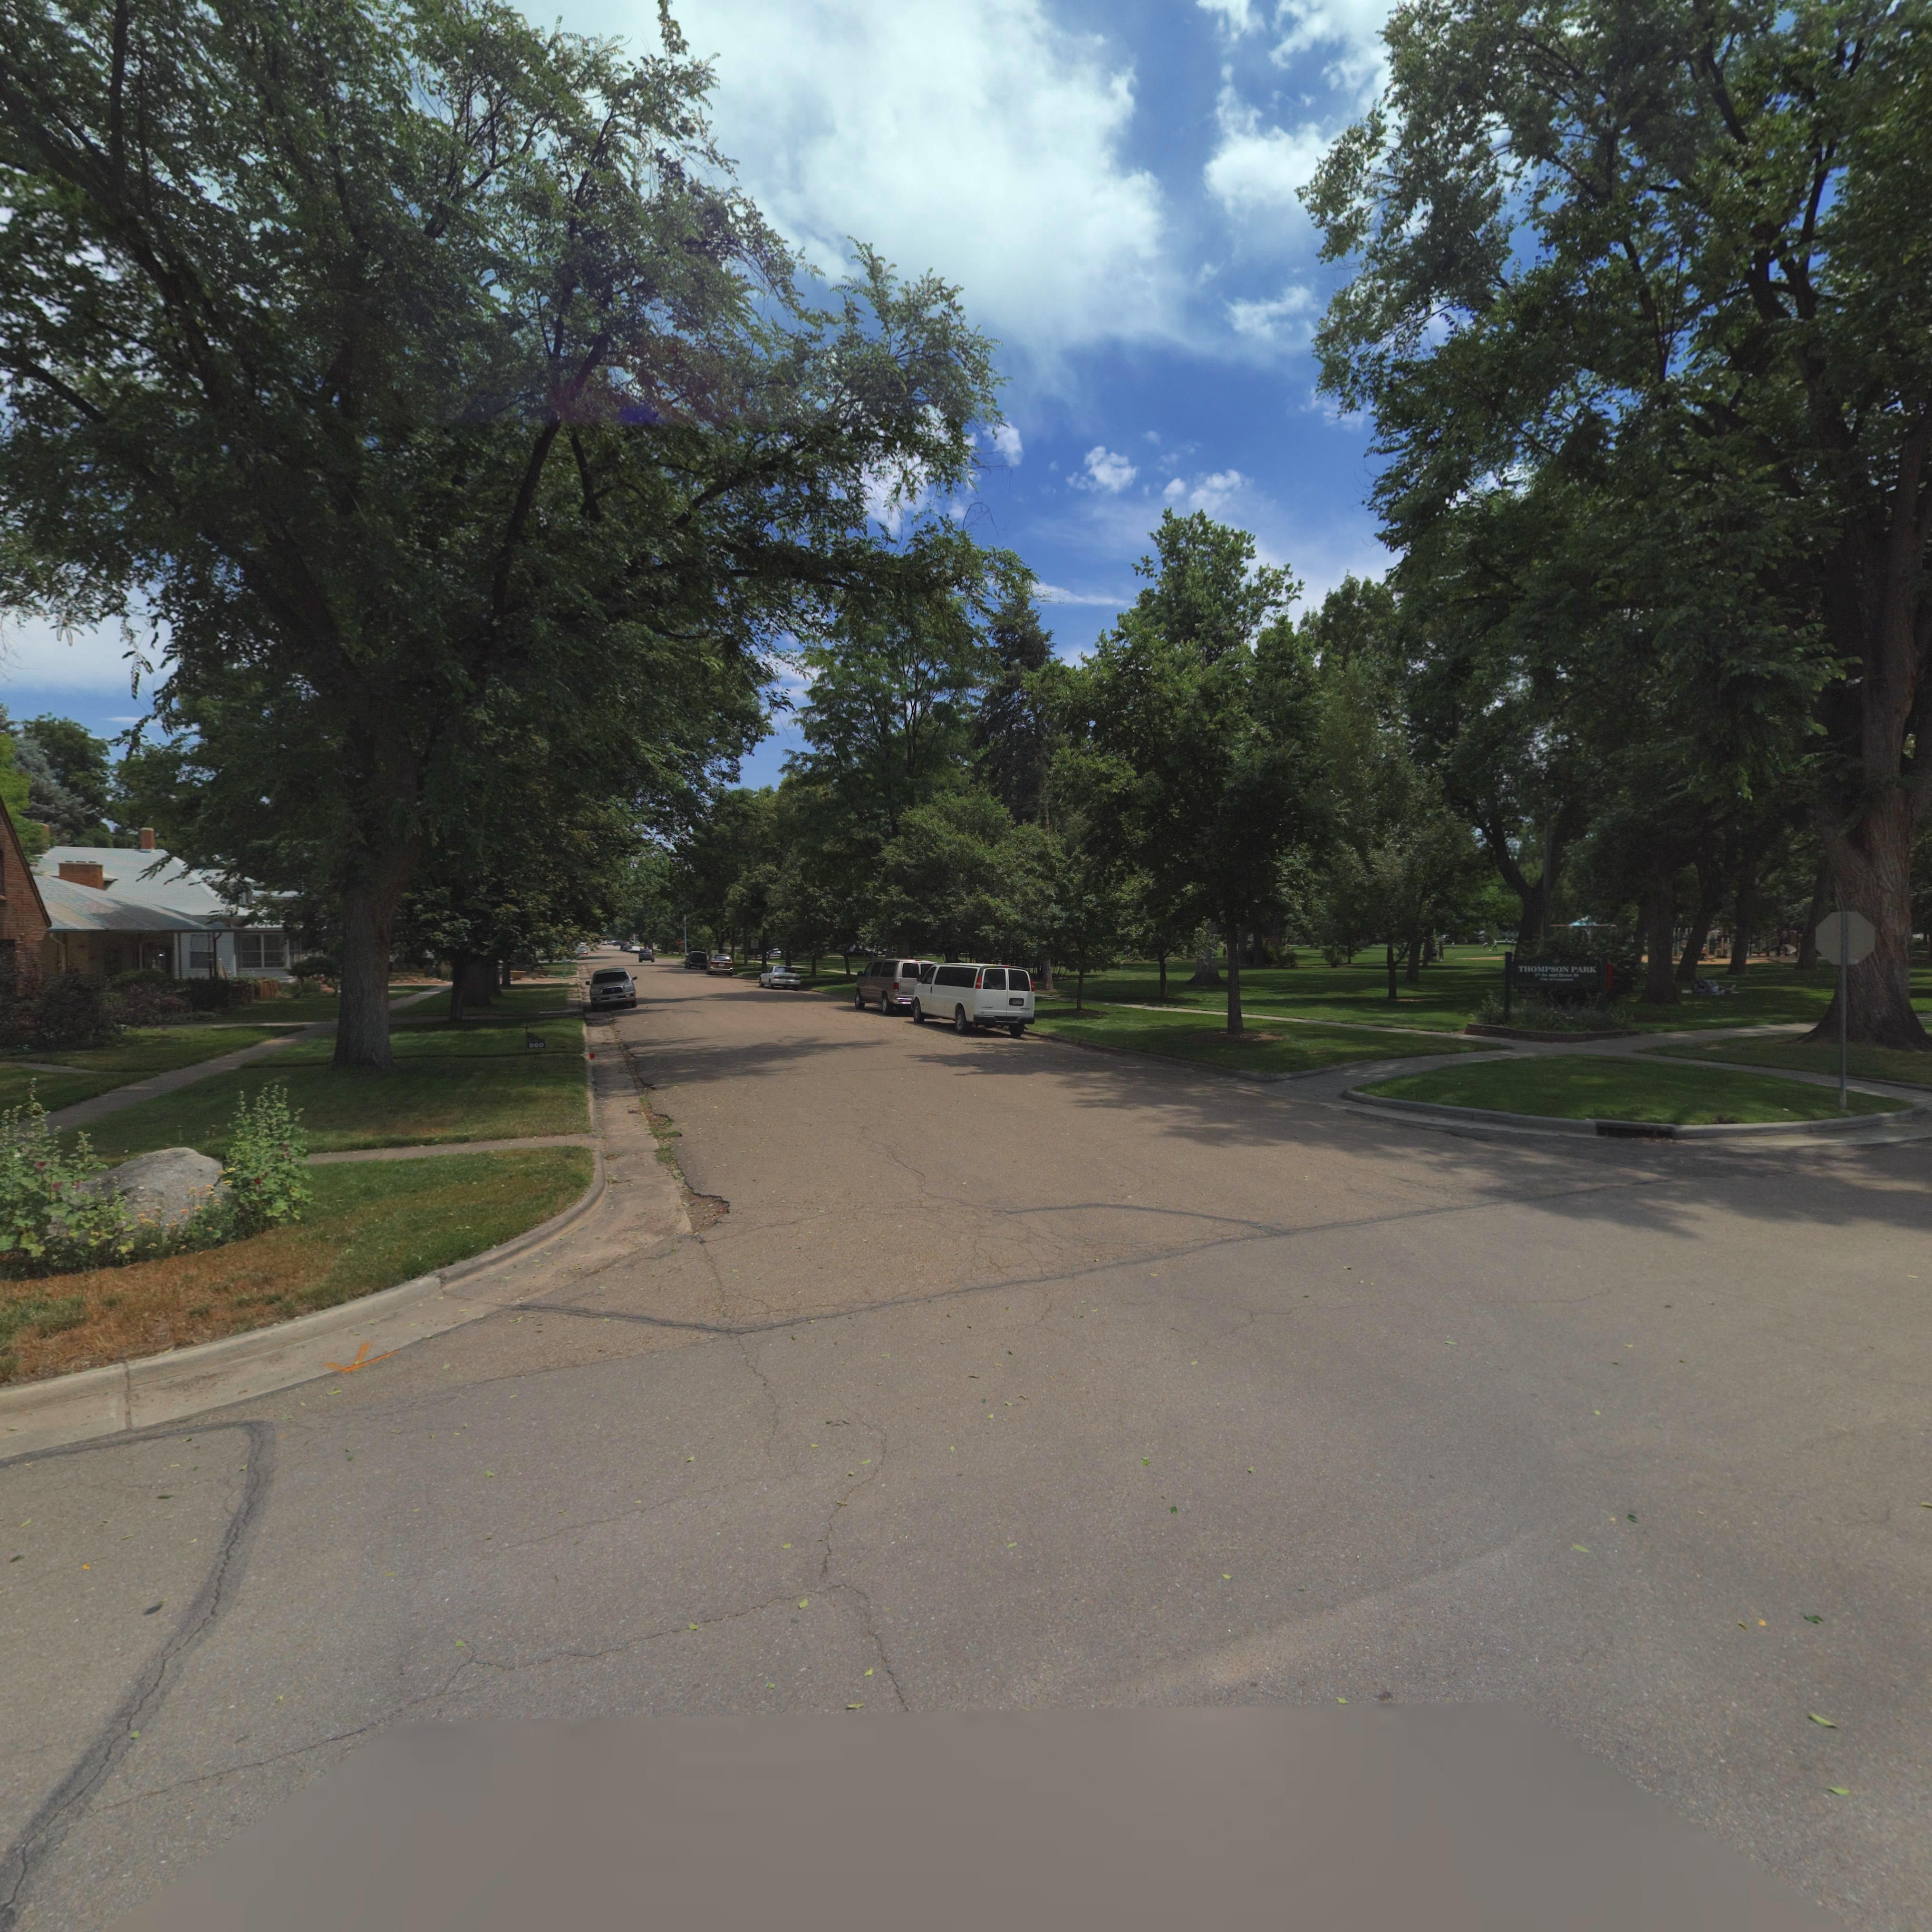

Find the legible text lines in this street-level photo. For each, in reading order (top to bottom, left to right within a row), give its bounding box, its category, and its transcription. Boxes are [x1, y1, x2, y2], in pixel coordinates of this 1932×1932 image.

[528, 1042, 544, 1048] StreetNumber: 960